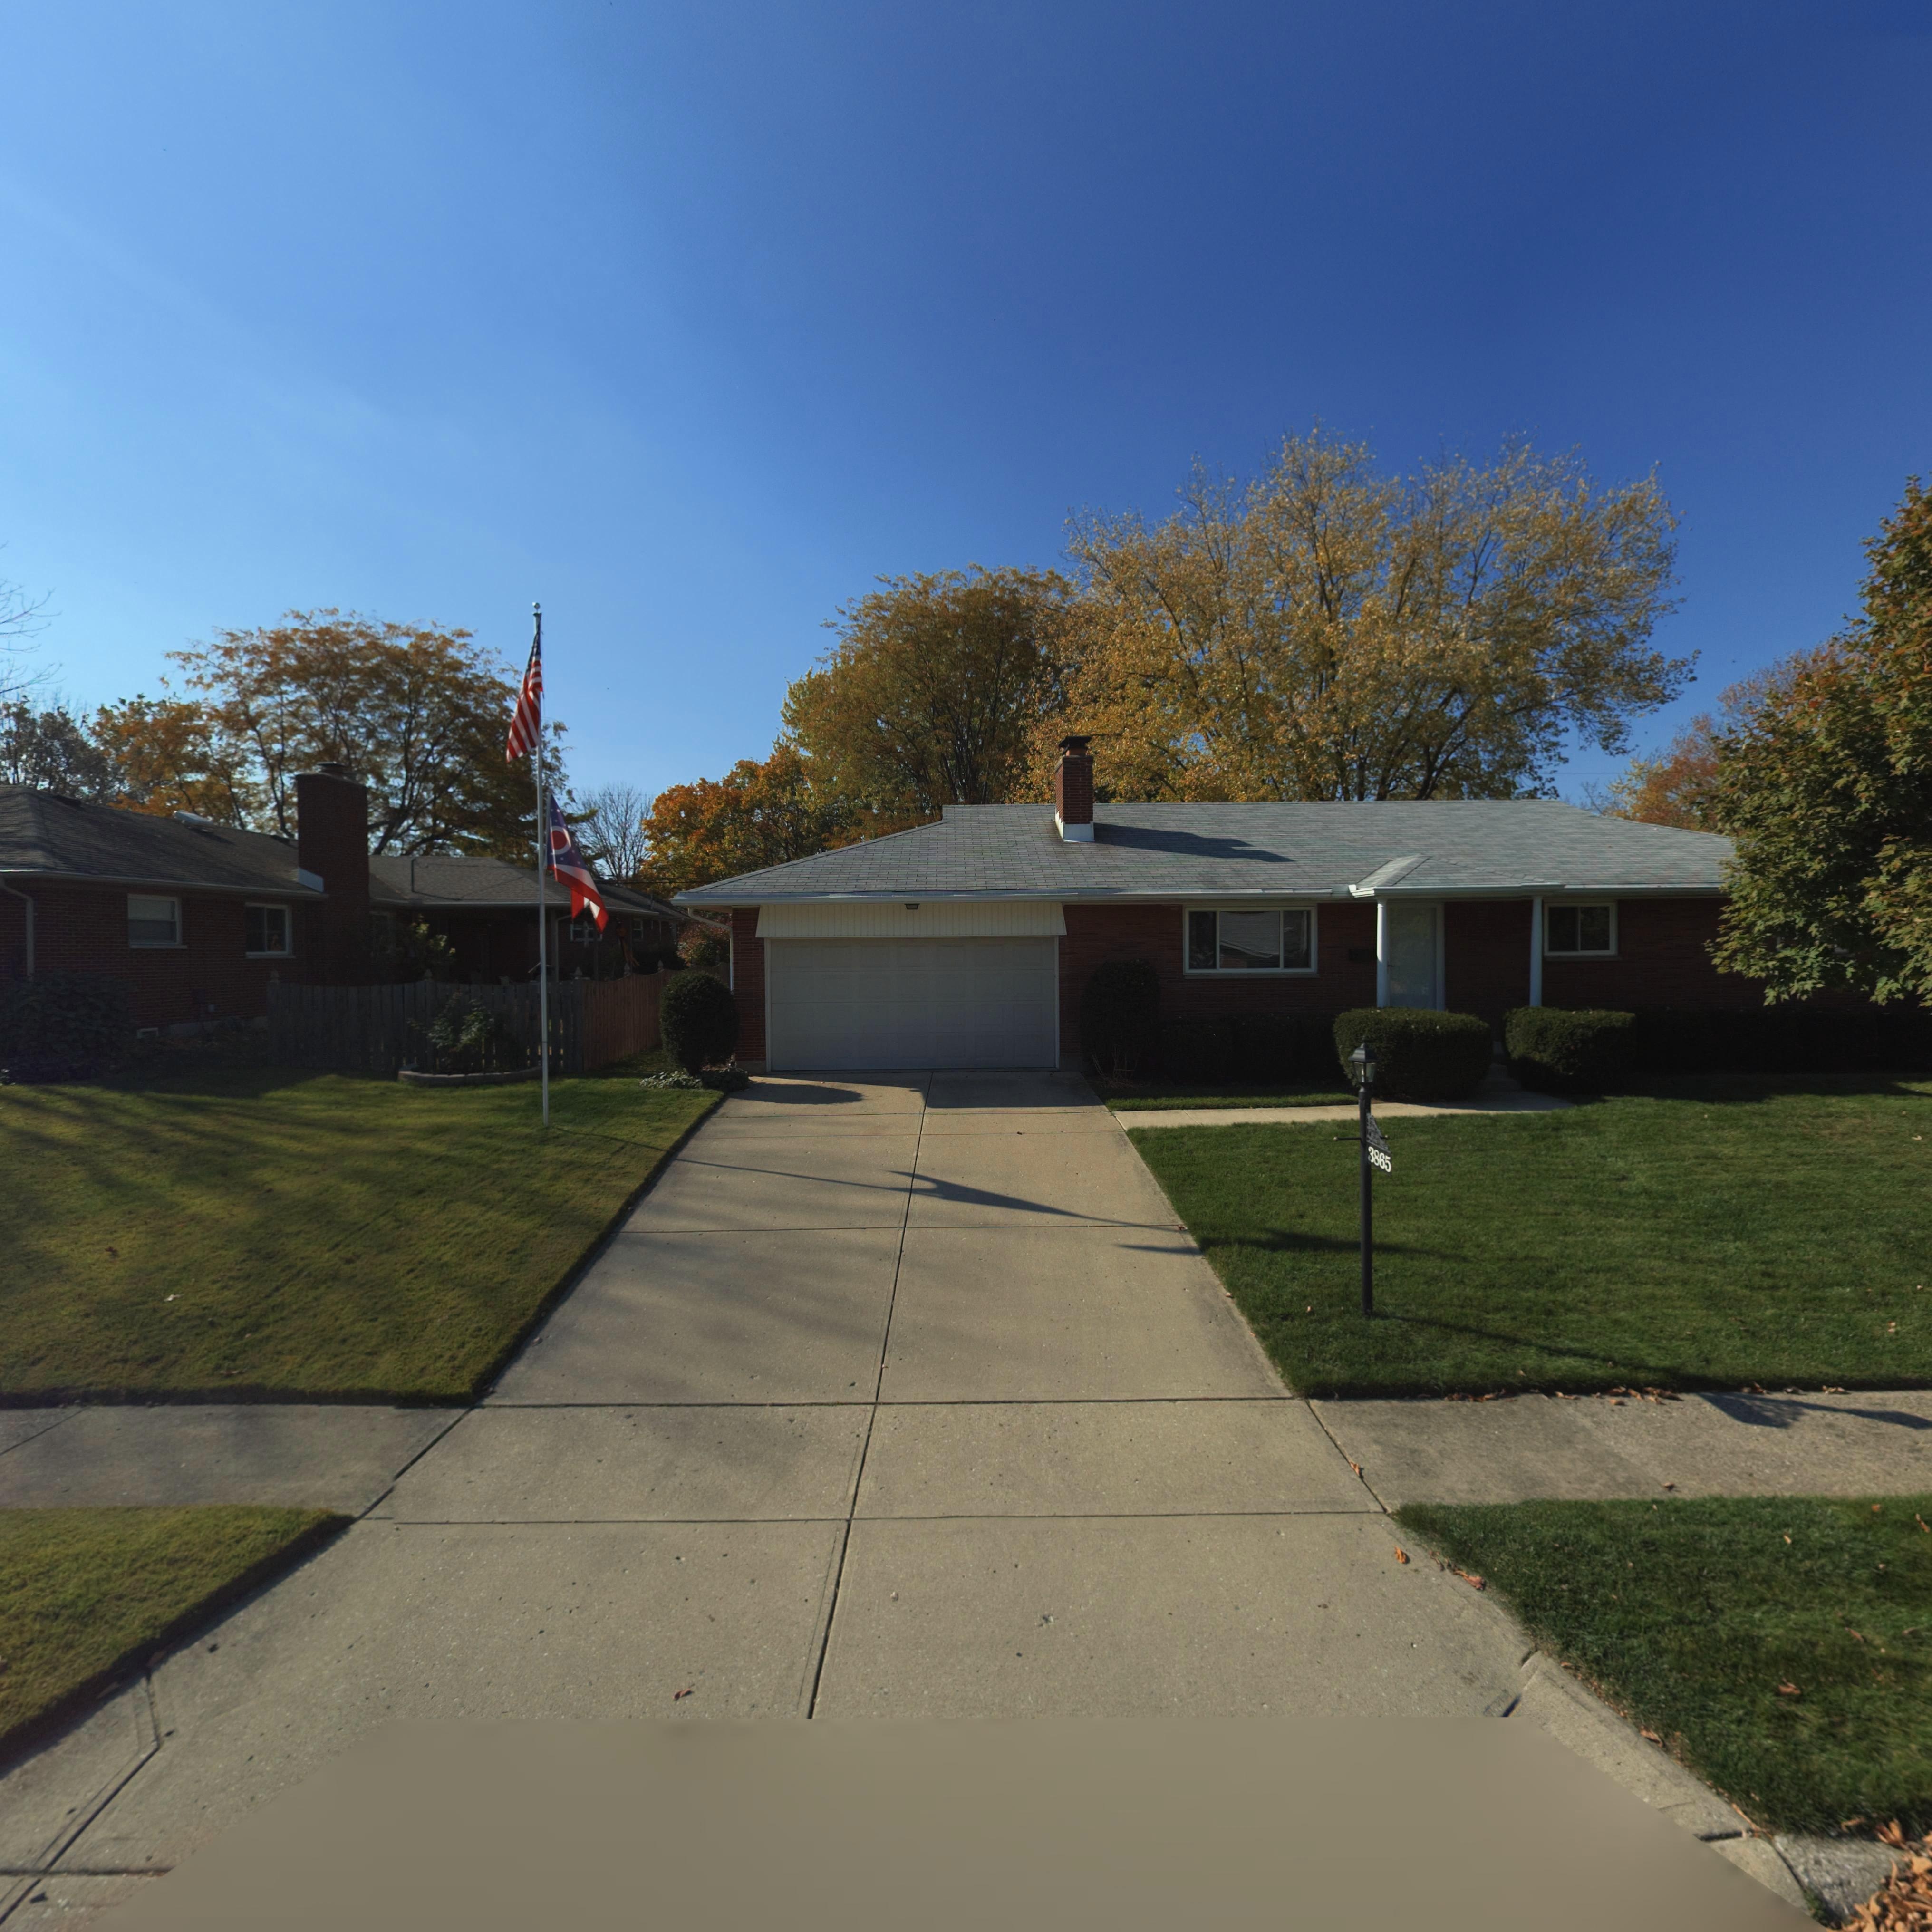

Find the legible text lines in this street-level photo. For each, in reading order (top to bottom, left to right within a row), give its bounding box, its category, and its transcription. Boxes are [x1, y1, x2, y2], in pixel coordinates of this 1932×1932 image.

[1367, 1143, 1392, 1175] StreetNumber: 3865